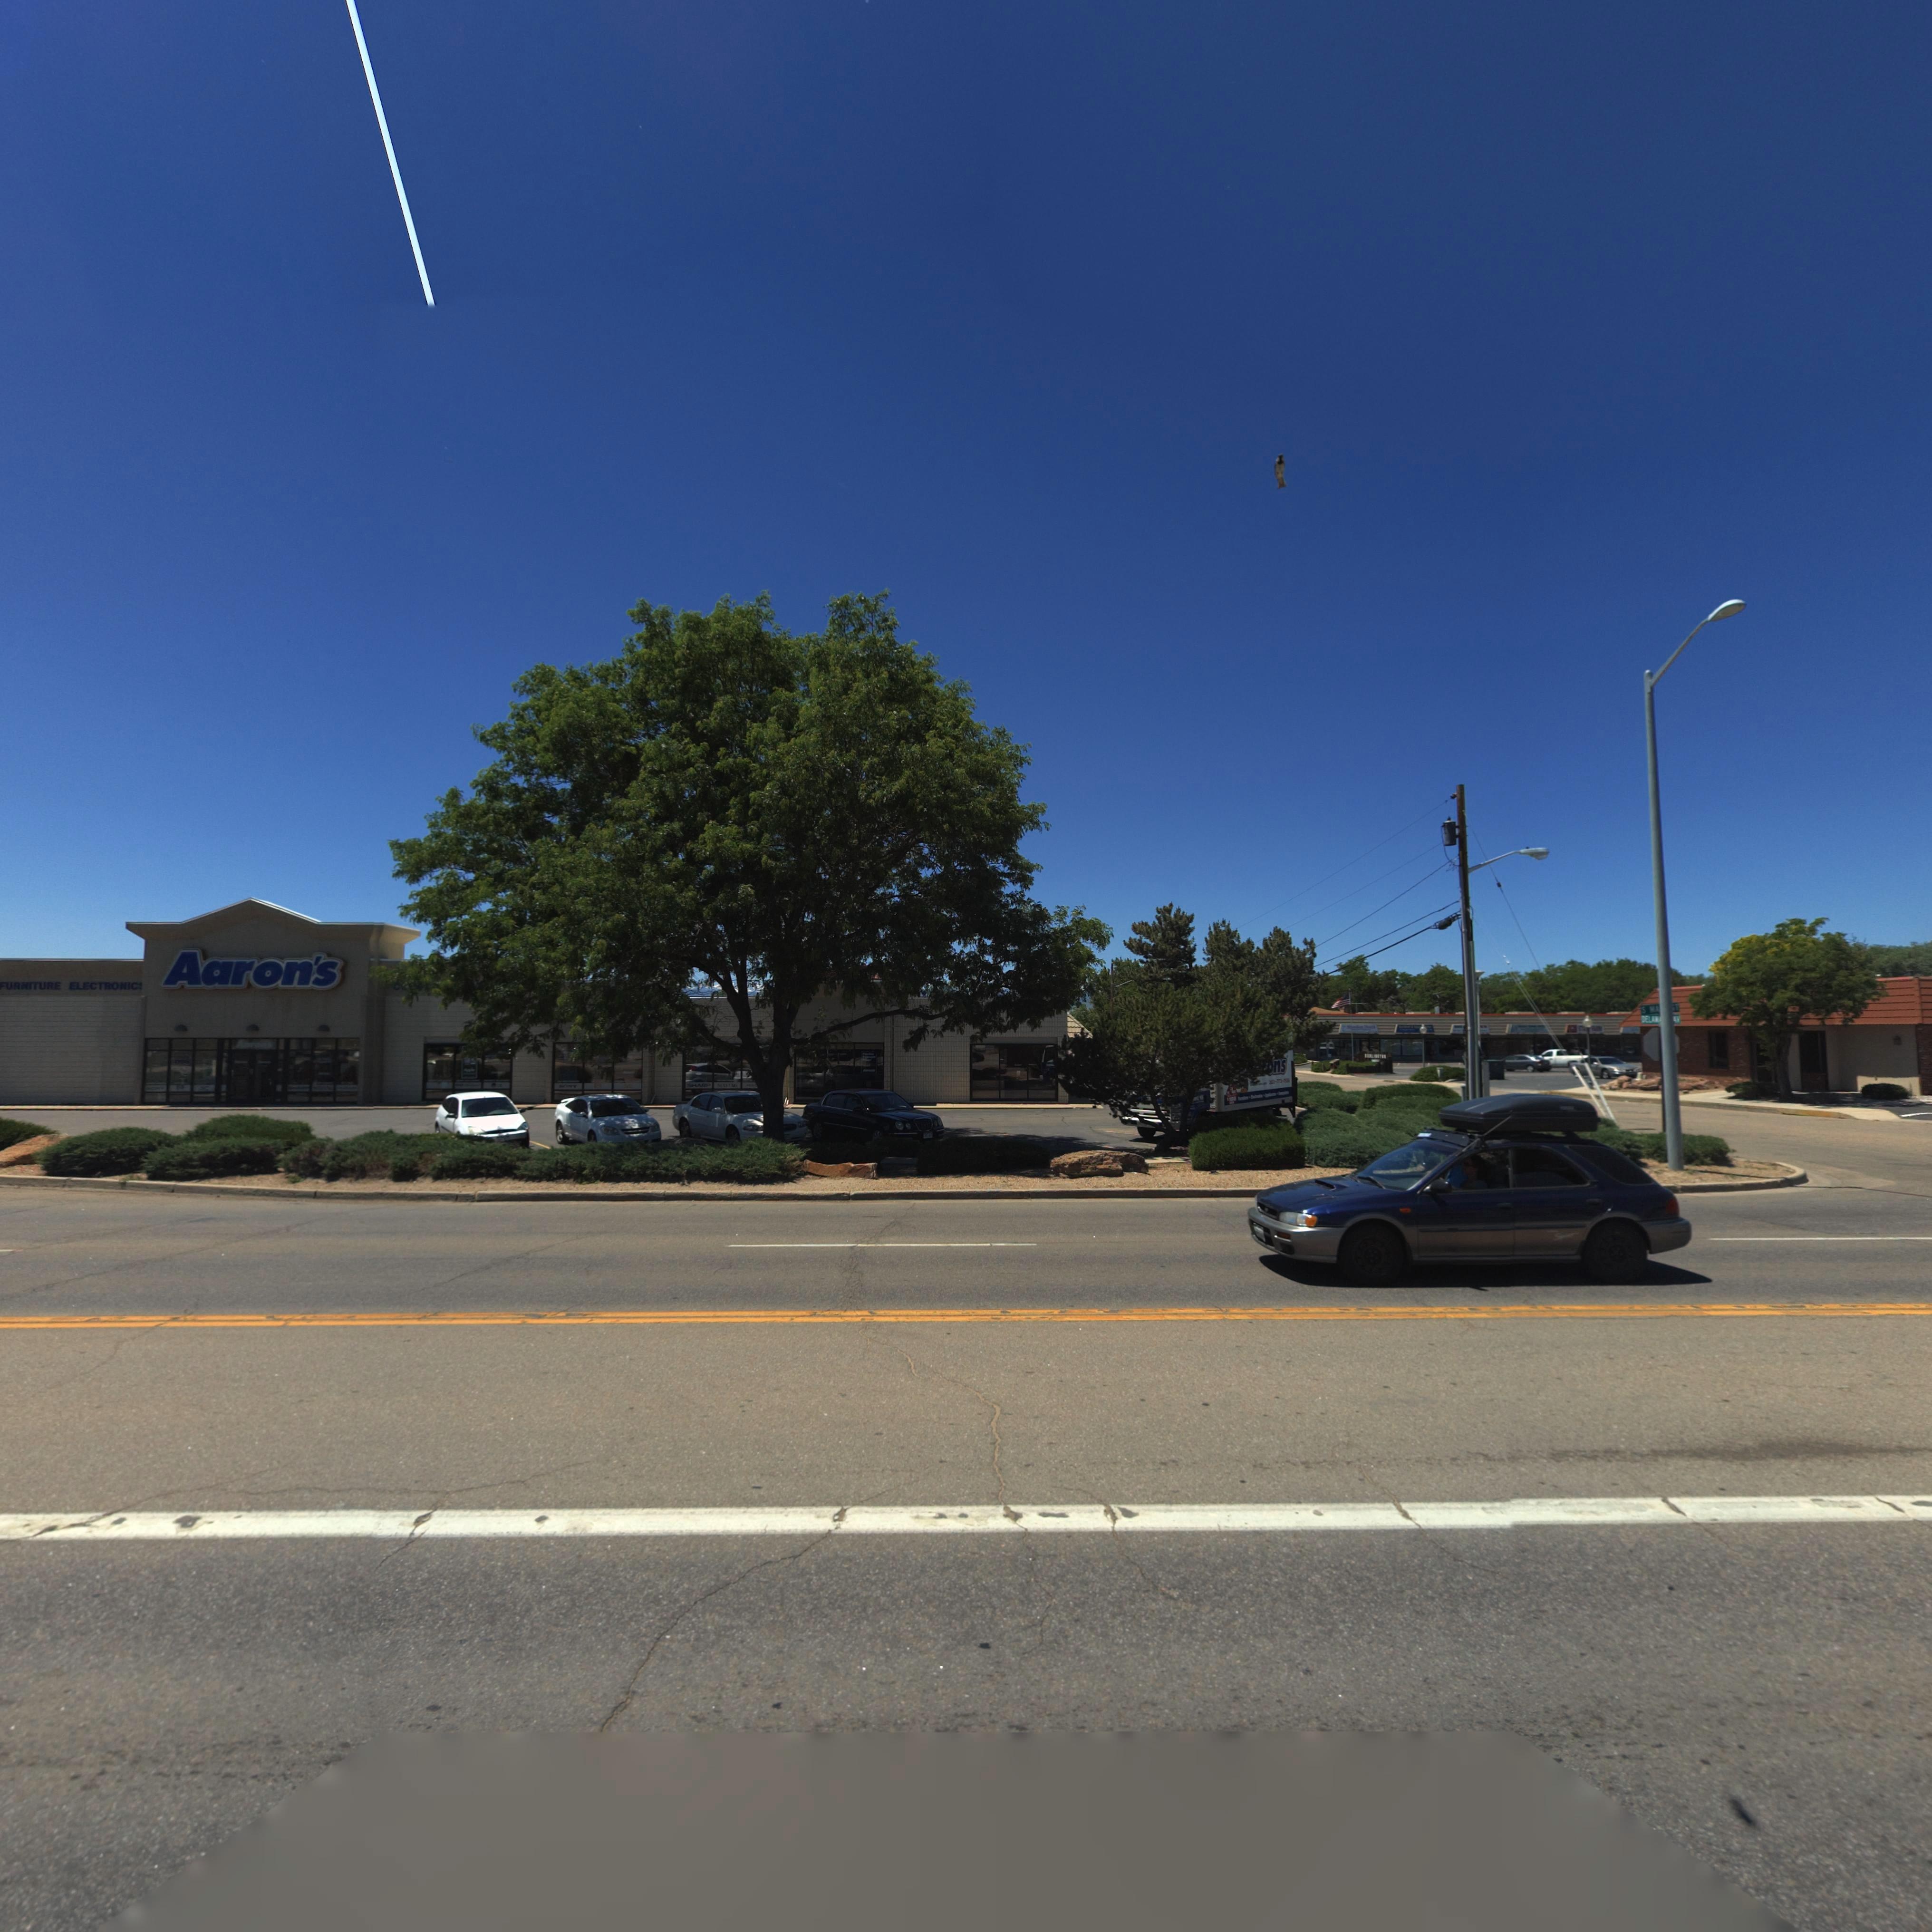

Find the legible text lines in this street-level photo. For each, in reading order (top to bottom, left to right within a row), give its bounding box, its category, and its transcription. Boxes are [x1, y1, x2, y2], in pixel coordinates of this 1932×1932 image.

[162, 950, 340, 987] BusinessName: Aaron's
[1641, 1005, 1659, 1014] StreetName: S MA
[1672, 1004, 1679, 1011] StreetName: *T
[1641, 1015, 1659, 1023] StreetName: DELA*
[1673, 1015, 1680, 1023] StreetName: *AV
[234, 1039, 273, 1048] BusinessName: Aaron*s
[1273, 1058, 1286, 1075] BusinessName: ns